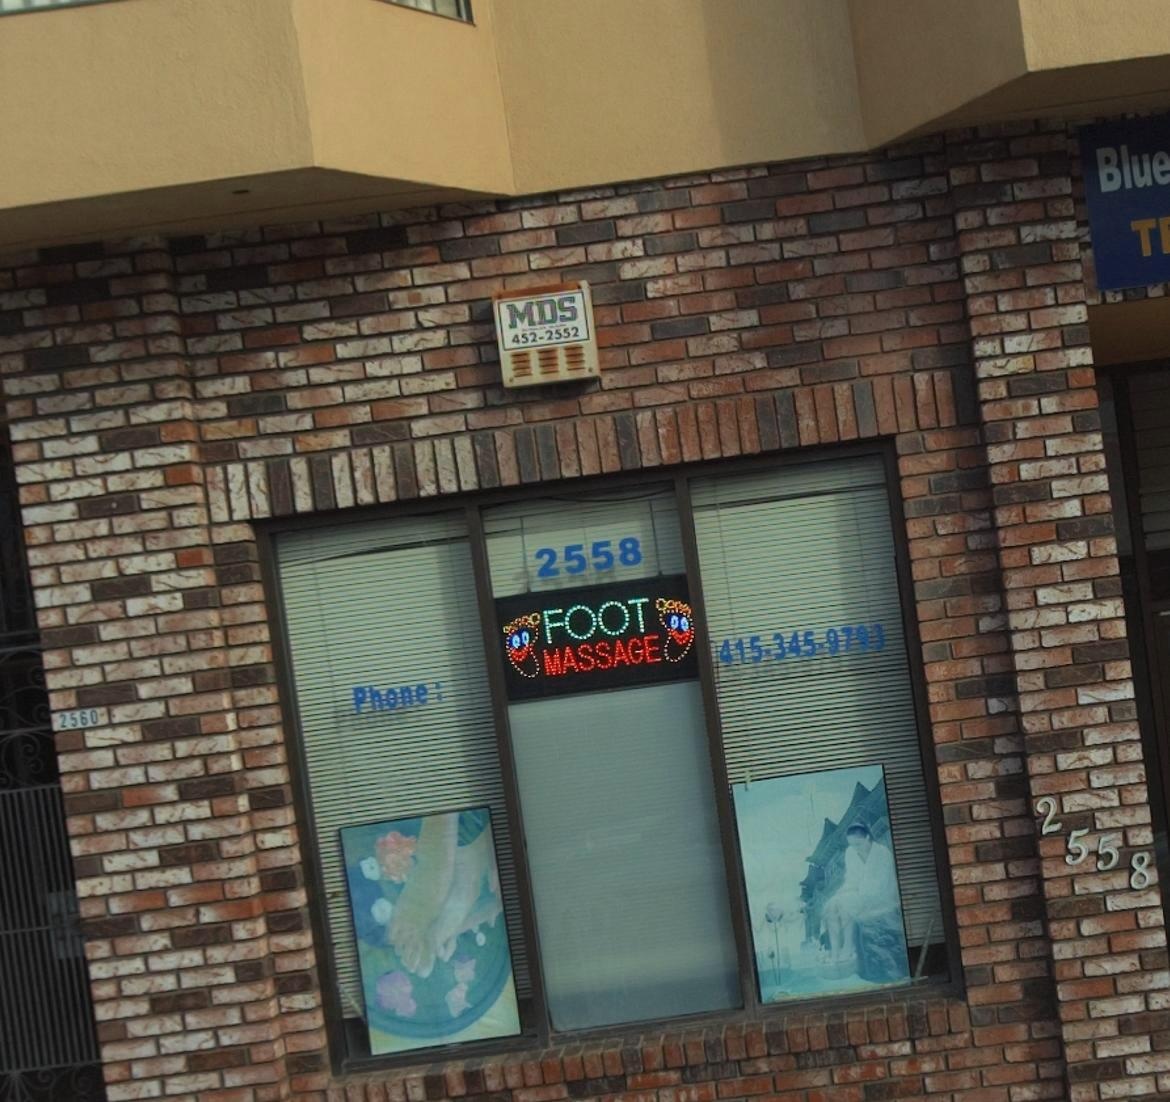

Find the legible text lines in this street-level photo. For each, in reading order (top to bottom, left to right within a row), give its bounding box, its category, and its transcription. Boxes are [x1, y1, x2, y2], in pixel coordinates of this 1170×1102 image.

[1092, 140, 1170, 197] BusinessName: Blue
[1126, 215, 1159, 261] None: T
[503, 292, 581, 332] None: MDS
[508, 324, 583, 348] None: 452-2552
[533, 534, 645, 582] StreetNumber: 2558
[538, 594, 654, 649] None: FOOT
[539, 632, 665, 680] None: MASSAGE
[715, 618, 890, 669] None: 415-345-9793
[56, 705, 102, 733] StreetNumber: 2560
[348, 680, 433, 719] None: Phone
[1033, 793, 1155, 896] StreetNumber: 2558